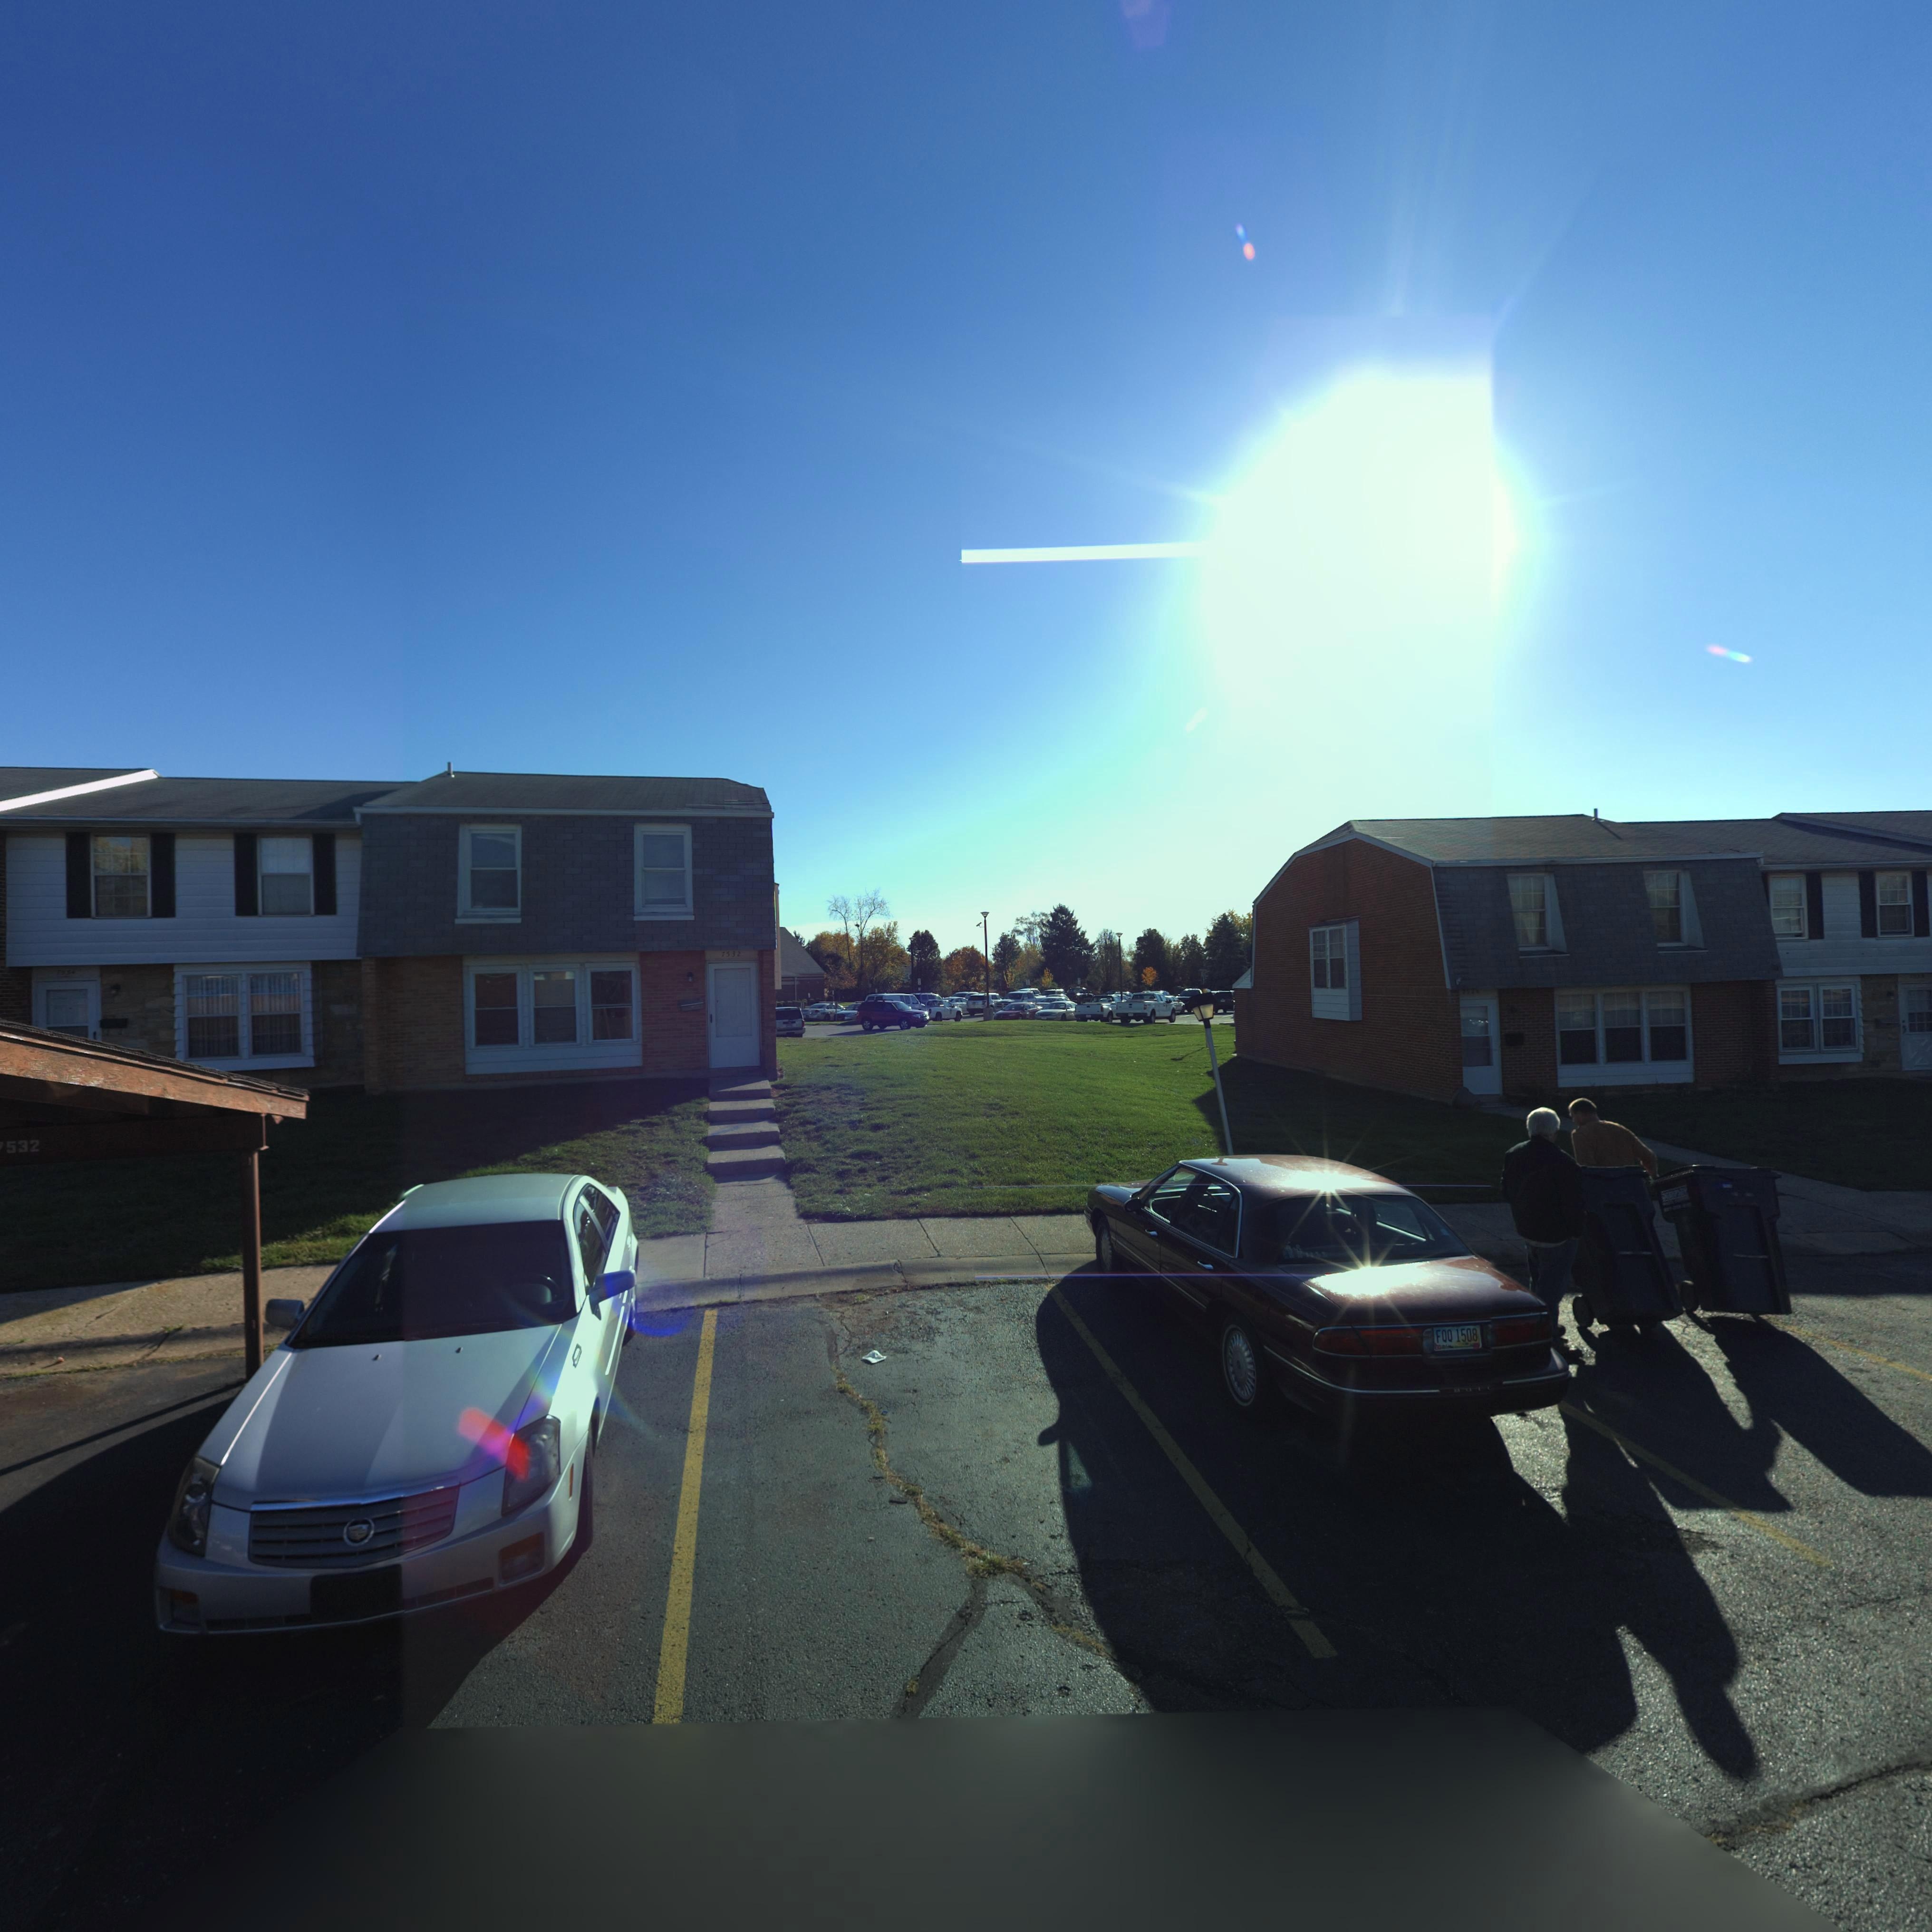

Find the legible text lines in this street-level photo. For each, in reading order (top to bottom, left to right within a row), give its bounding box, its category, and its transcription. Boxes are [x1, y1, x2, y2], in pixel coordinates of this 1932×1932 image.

[721, 951, 741, 957] StreetNumber: 7532
[56, 969, 76, 976] StreetNumber: 7534
[1908, 973, 1925, 979] StreetNumber: **2*
[1460, 988, 1481, 995] StreetNumber: 7528
[6, 1138, 40, 1154] StreetNumber: 532